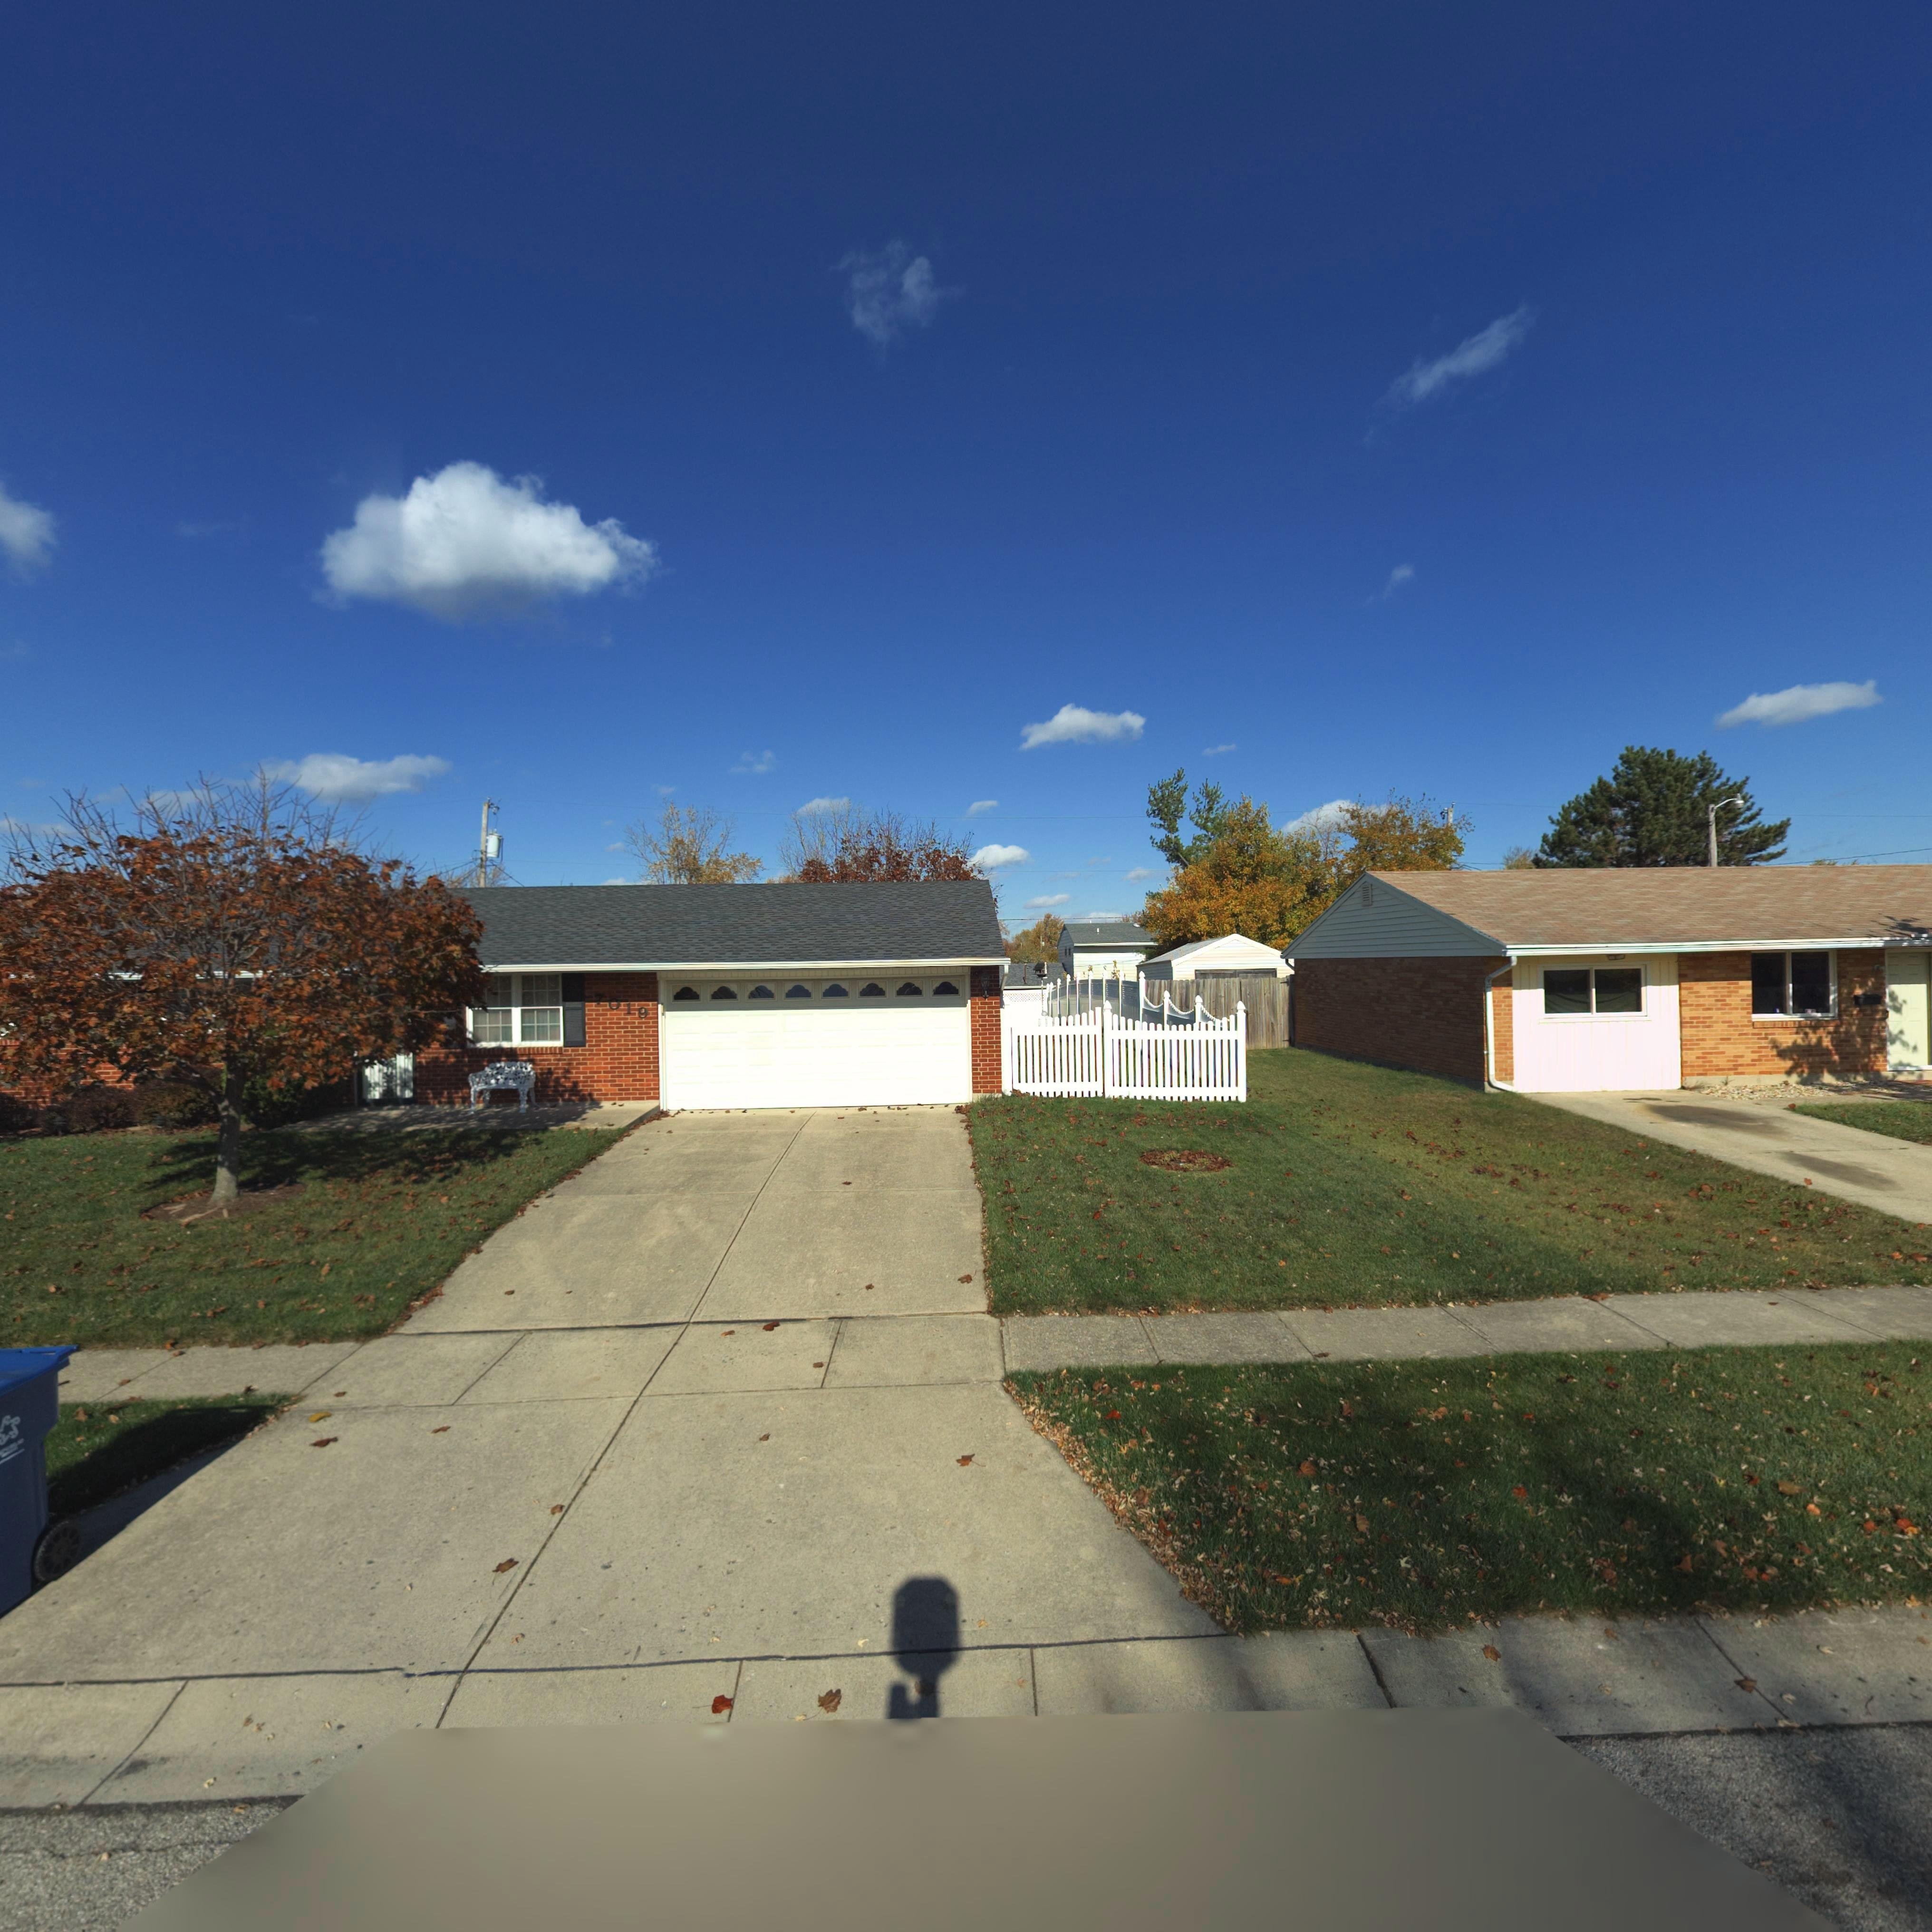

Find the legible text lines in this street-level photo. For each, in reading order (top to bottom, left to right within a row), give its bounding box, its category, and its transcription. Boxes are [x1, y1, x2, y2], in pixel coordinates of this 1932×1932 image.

[594, 992, 650, 1020] StreetNumber: 7019